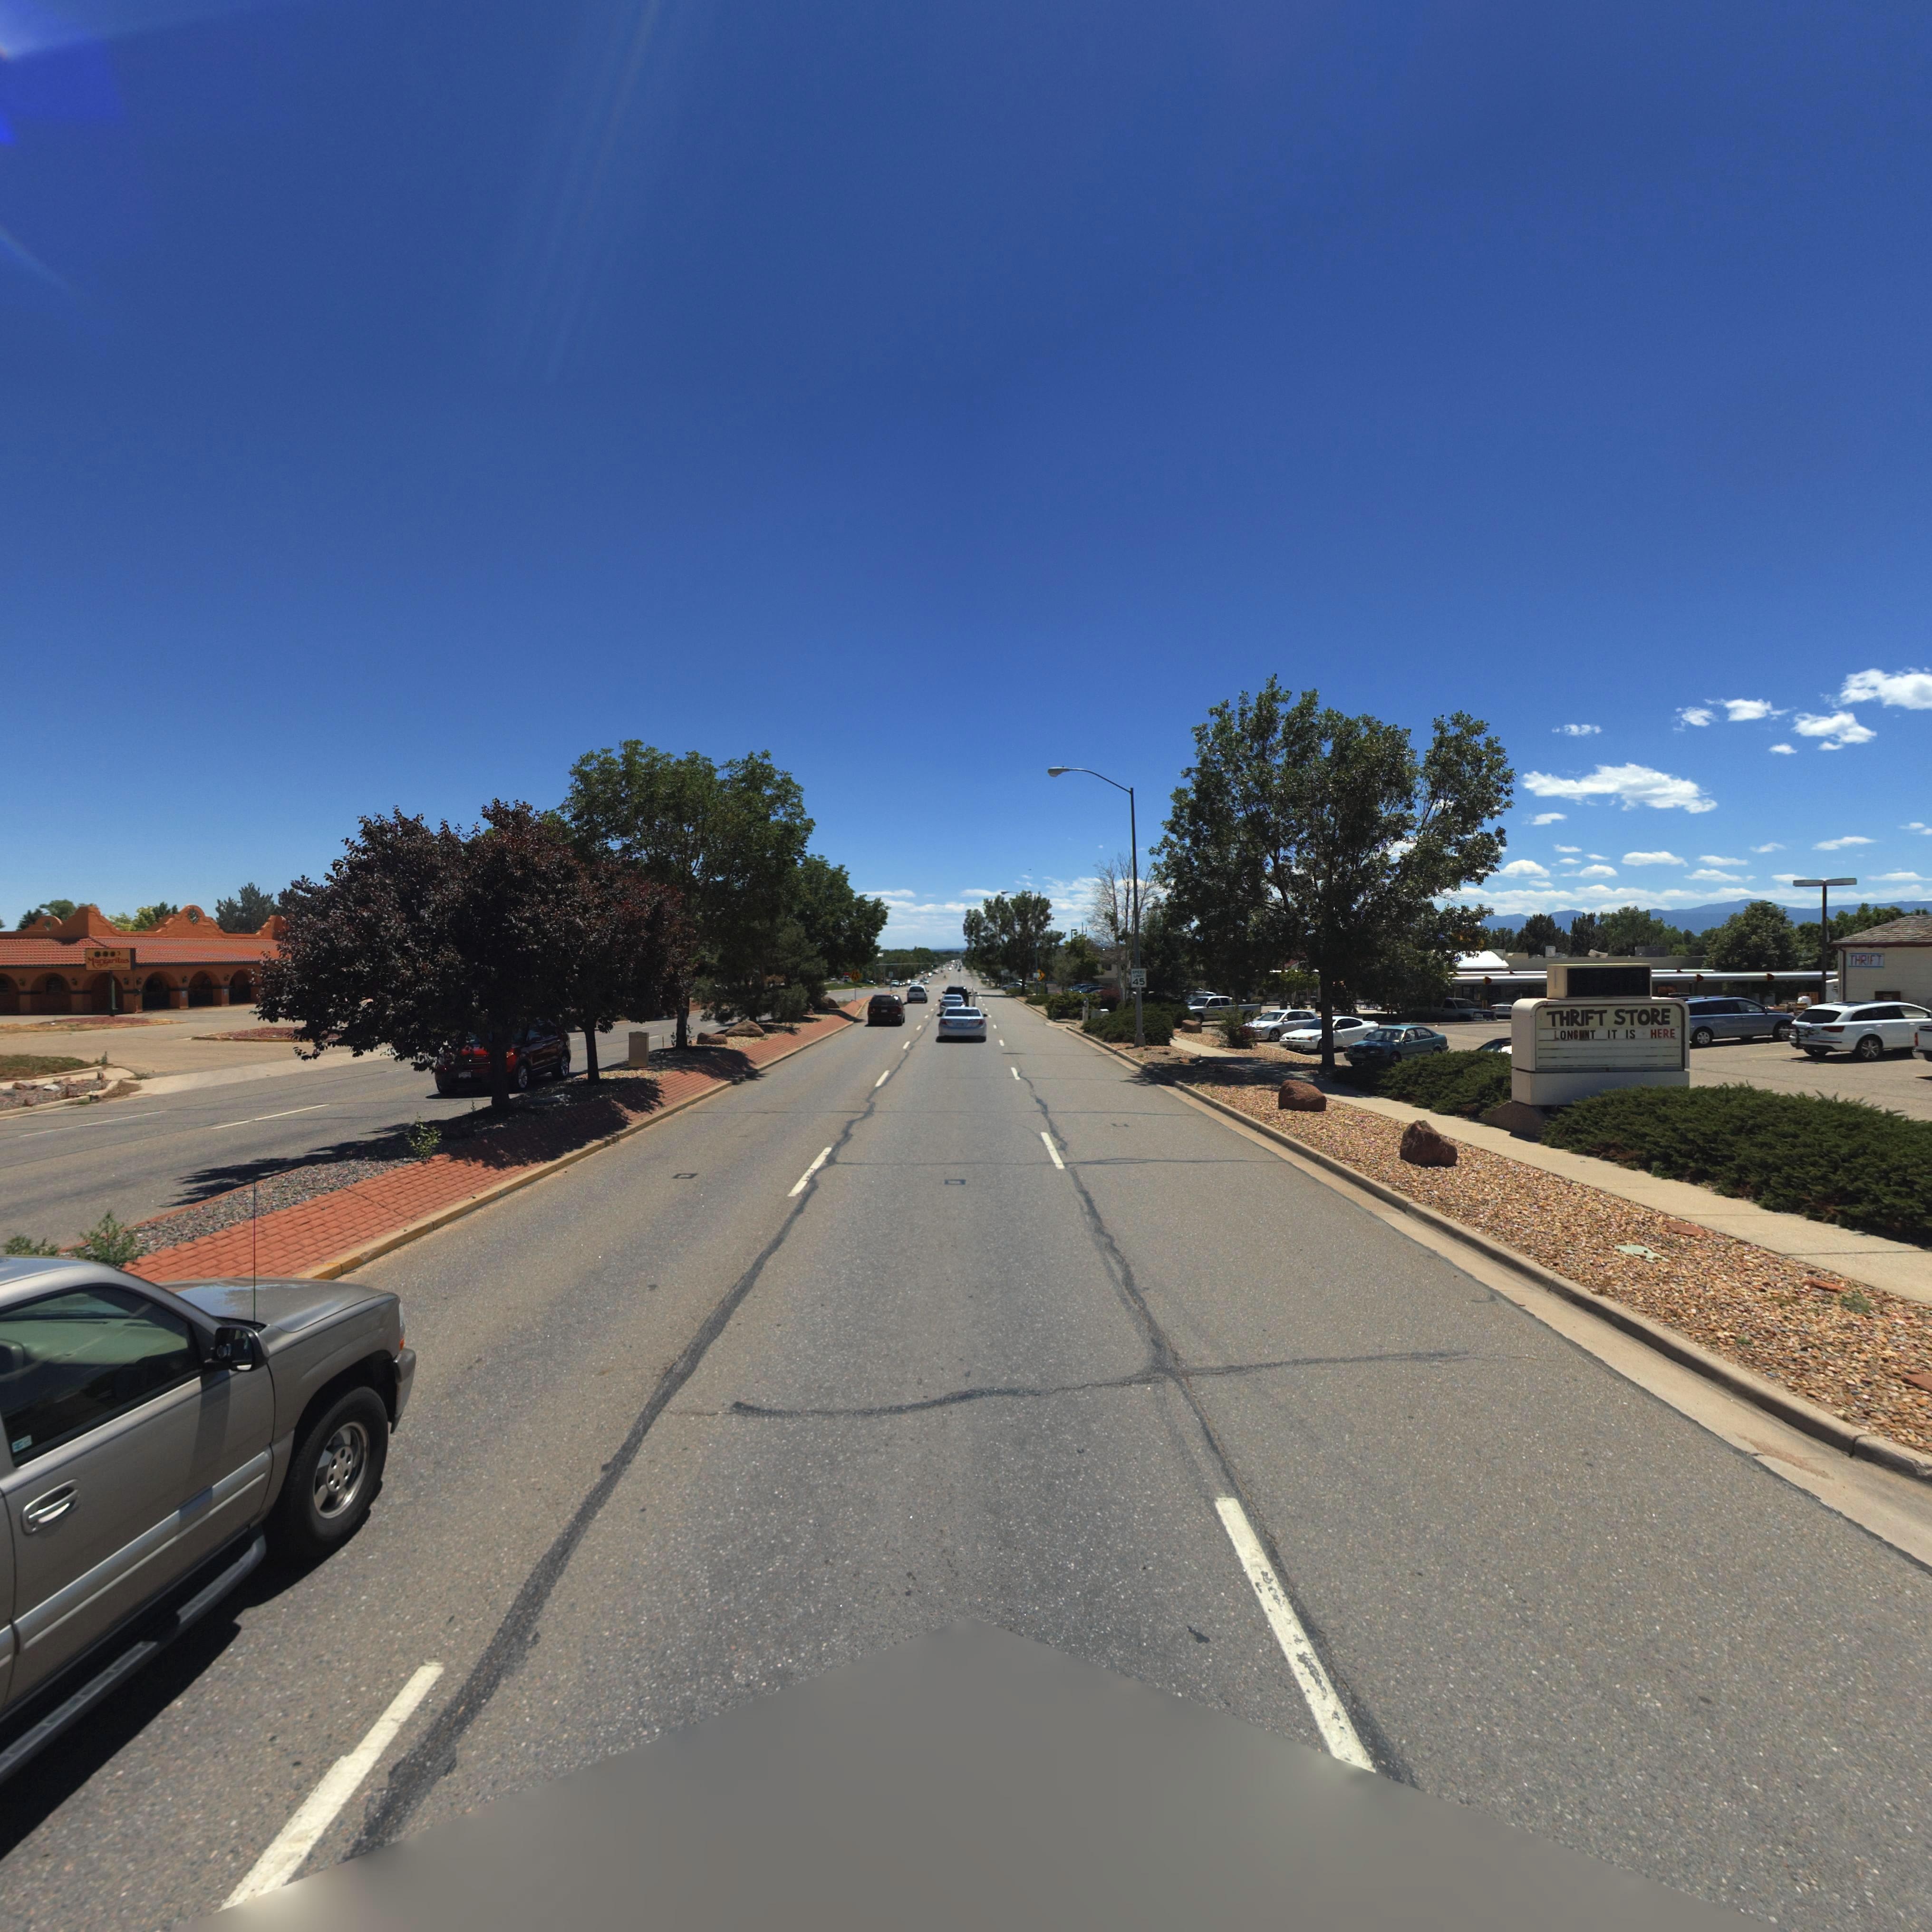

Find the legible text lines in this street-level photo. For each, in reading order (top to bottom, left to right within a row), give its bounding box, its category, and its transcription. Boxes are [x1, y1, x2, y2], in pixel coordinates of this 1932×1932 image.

[87, 956, 129, 969] BusinessName: M**g******